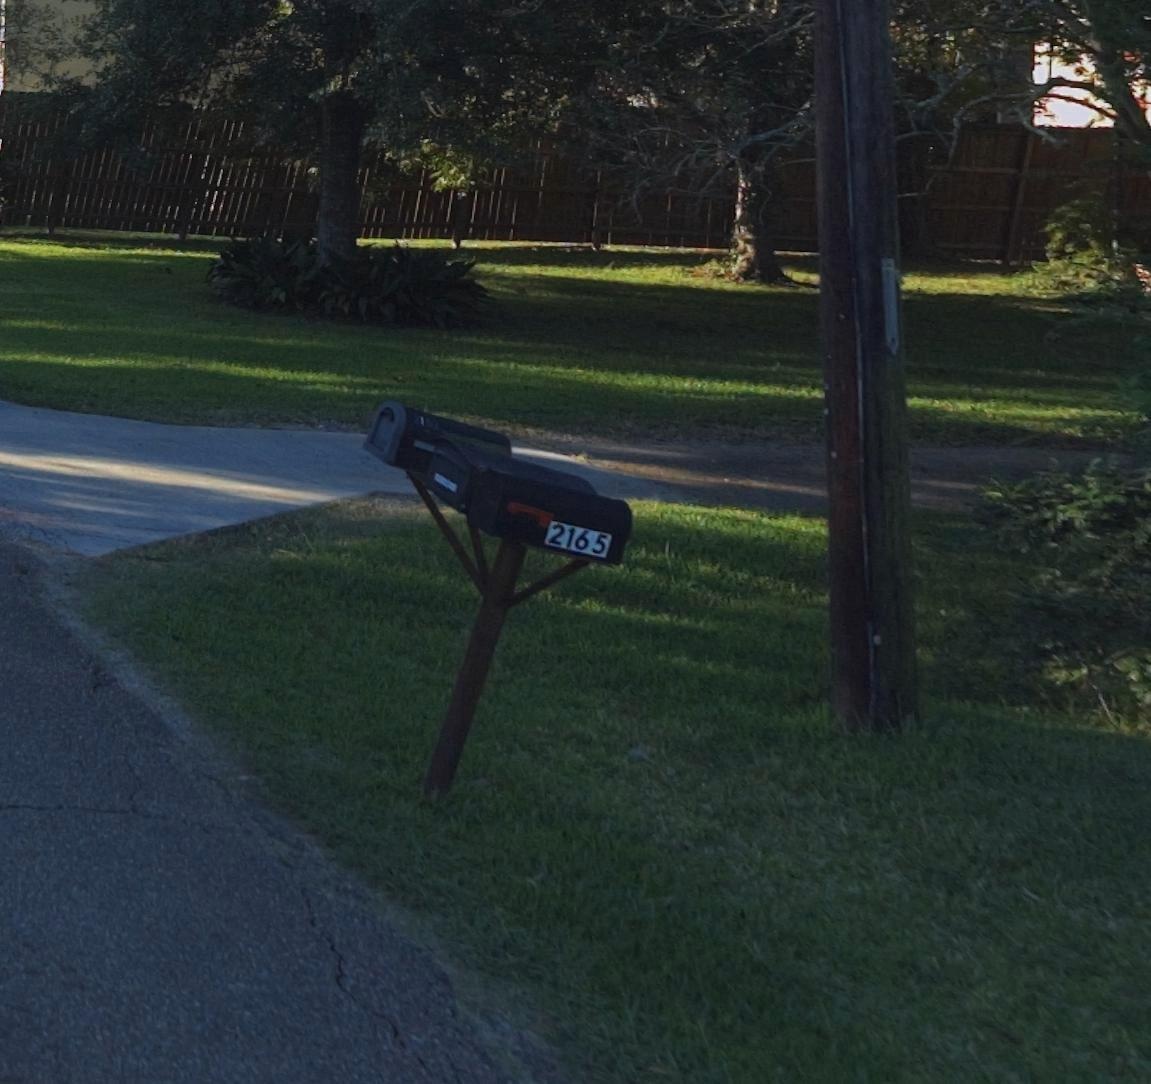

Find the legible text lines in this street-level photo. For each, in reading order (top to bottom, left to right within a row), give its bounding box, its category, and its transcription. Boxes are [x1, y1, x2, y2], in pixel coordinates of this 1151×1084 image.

[543, 520, 613, 558] StreetNumber: 2165